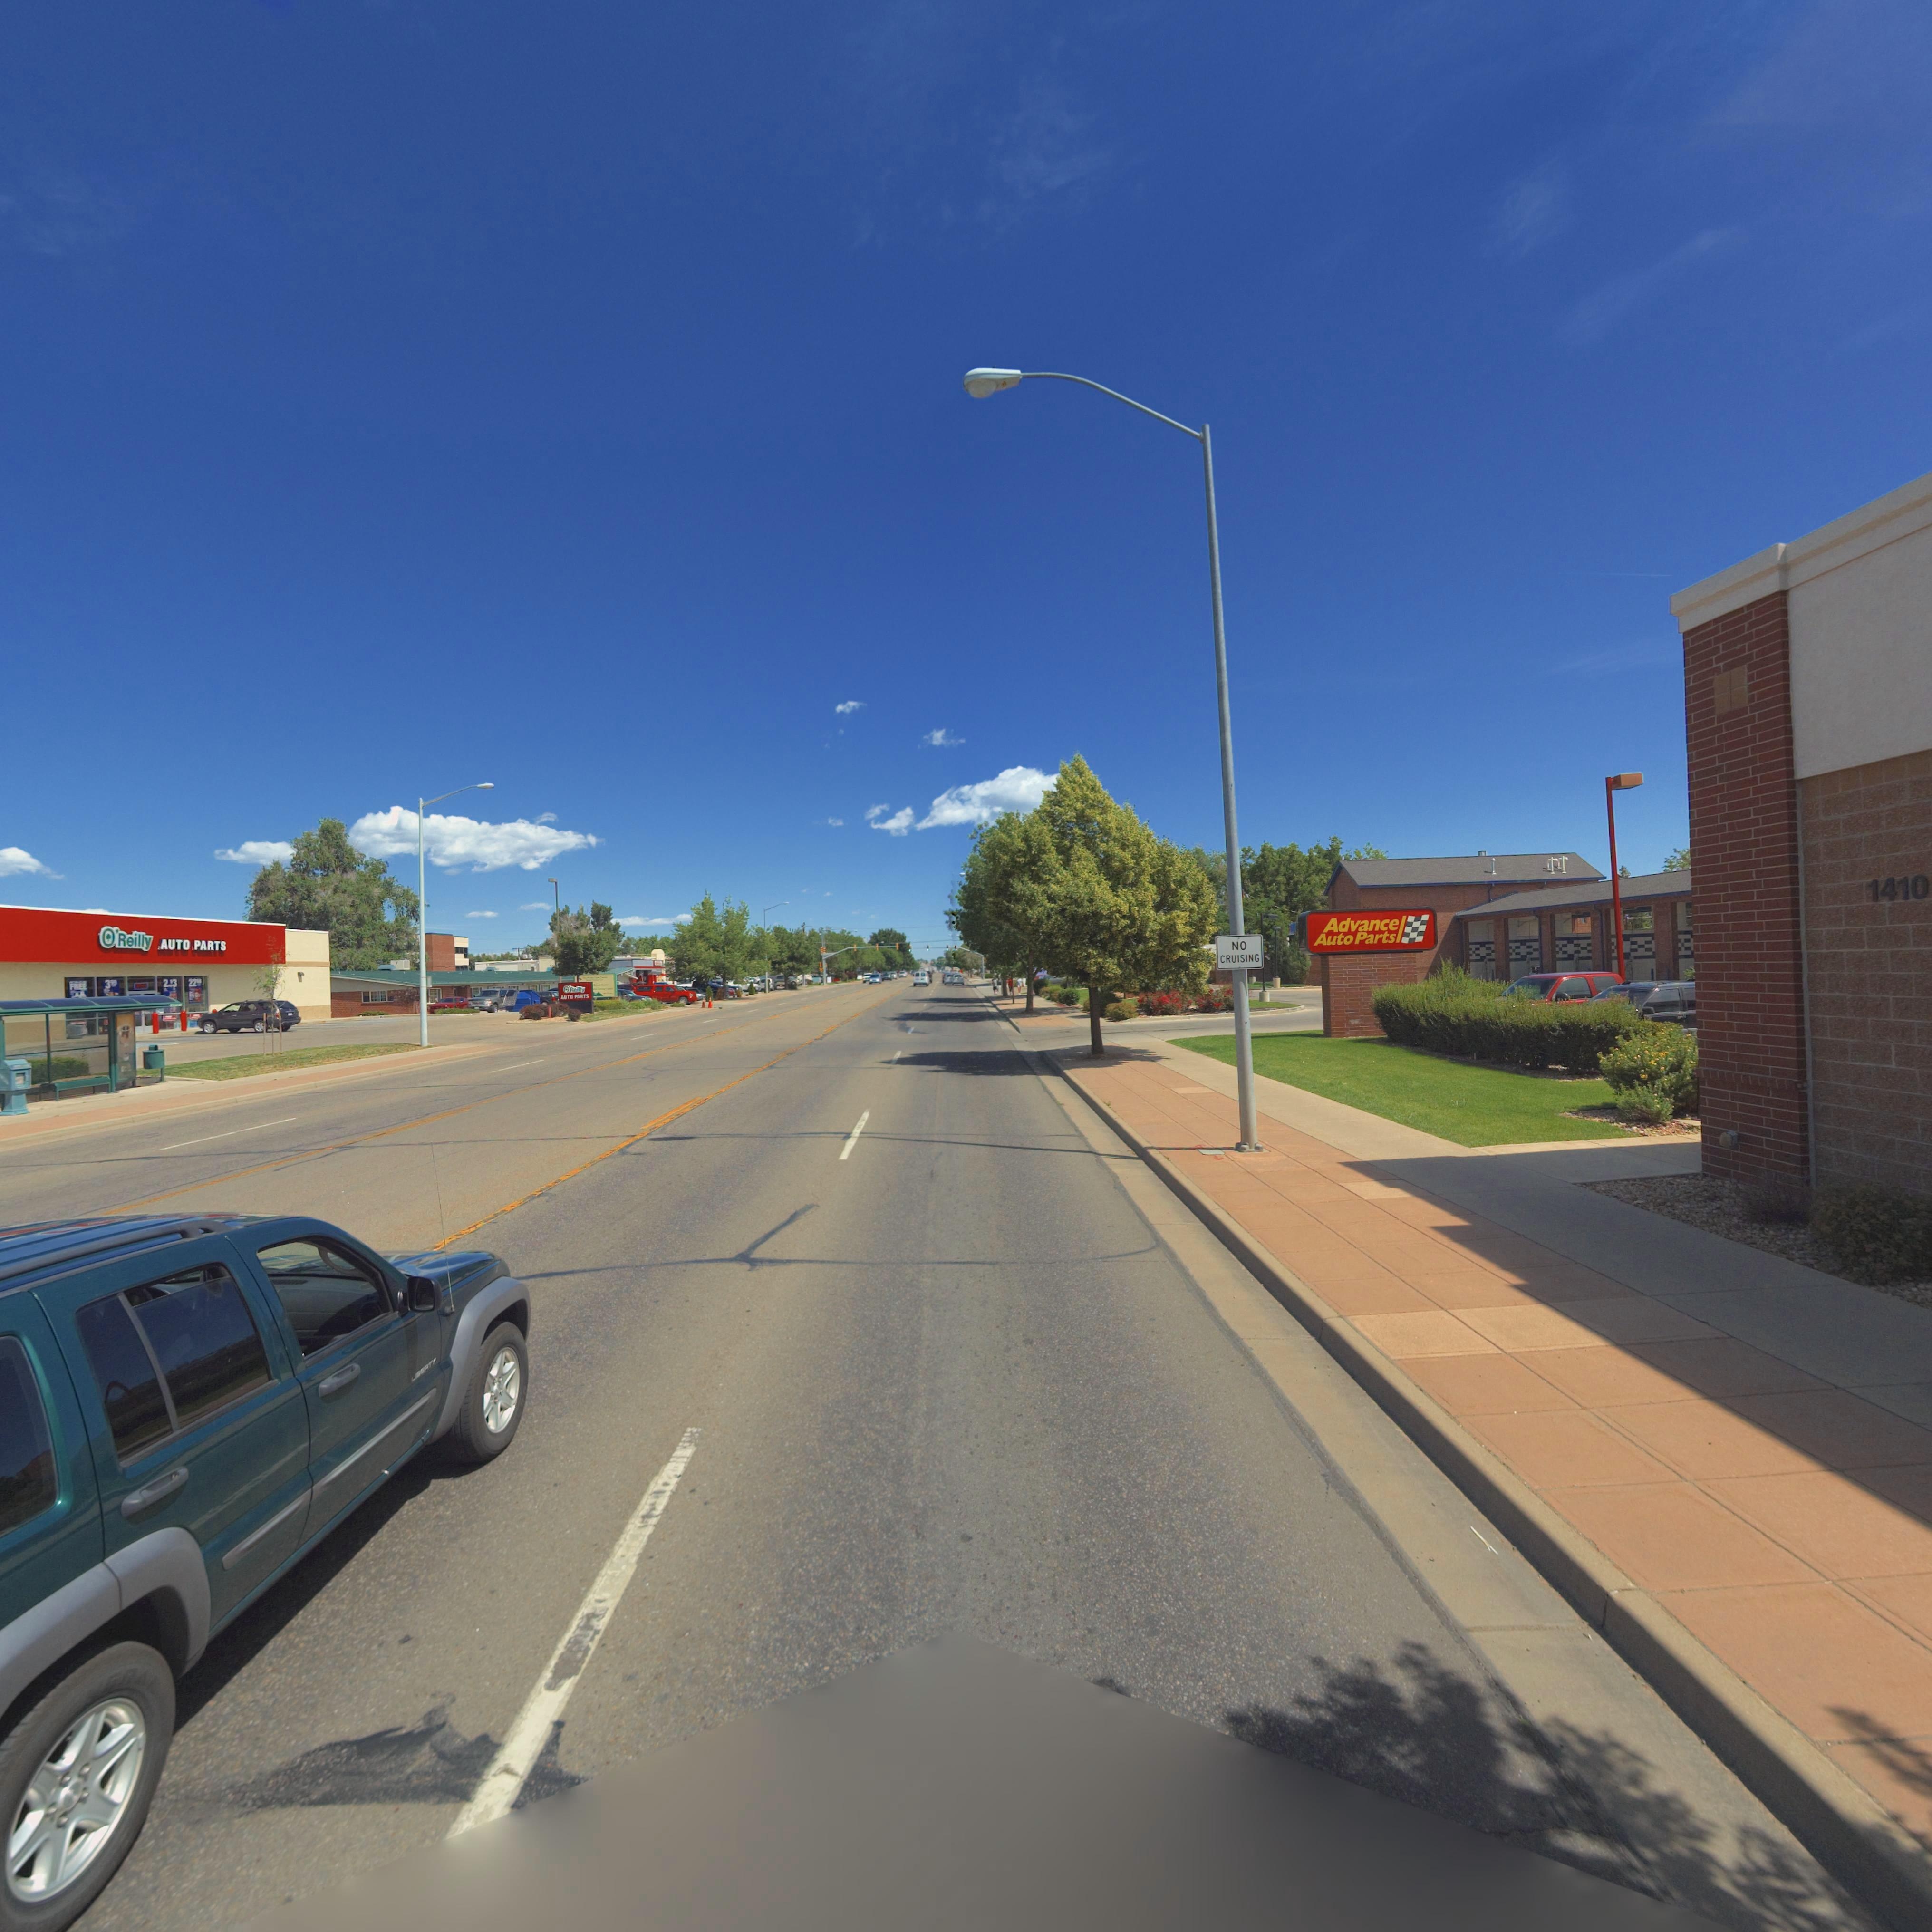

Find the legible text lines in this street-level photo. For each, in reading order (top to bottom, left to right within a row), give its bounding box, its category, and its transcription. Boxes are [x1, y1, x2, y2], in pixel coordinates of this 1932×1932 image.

[1867, 872, 1930, 903] StreetNumber: 1410
[1322, 917, 1400, 933] BusinessName: Advance
[99, 926, 227, 951] BusinessName: *'Reilly AUTO PARTS
[1313, 930, 1397, 946] BusinessName: Auto Parts
[563, 984, 585, 993] BusinessName: *'Reilly
[560, 994, 589, 1000] BusinessName: AUTO PARTS